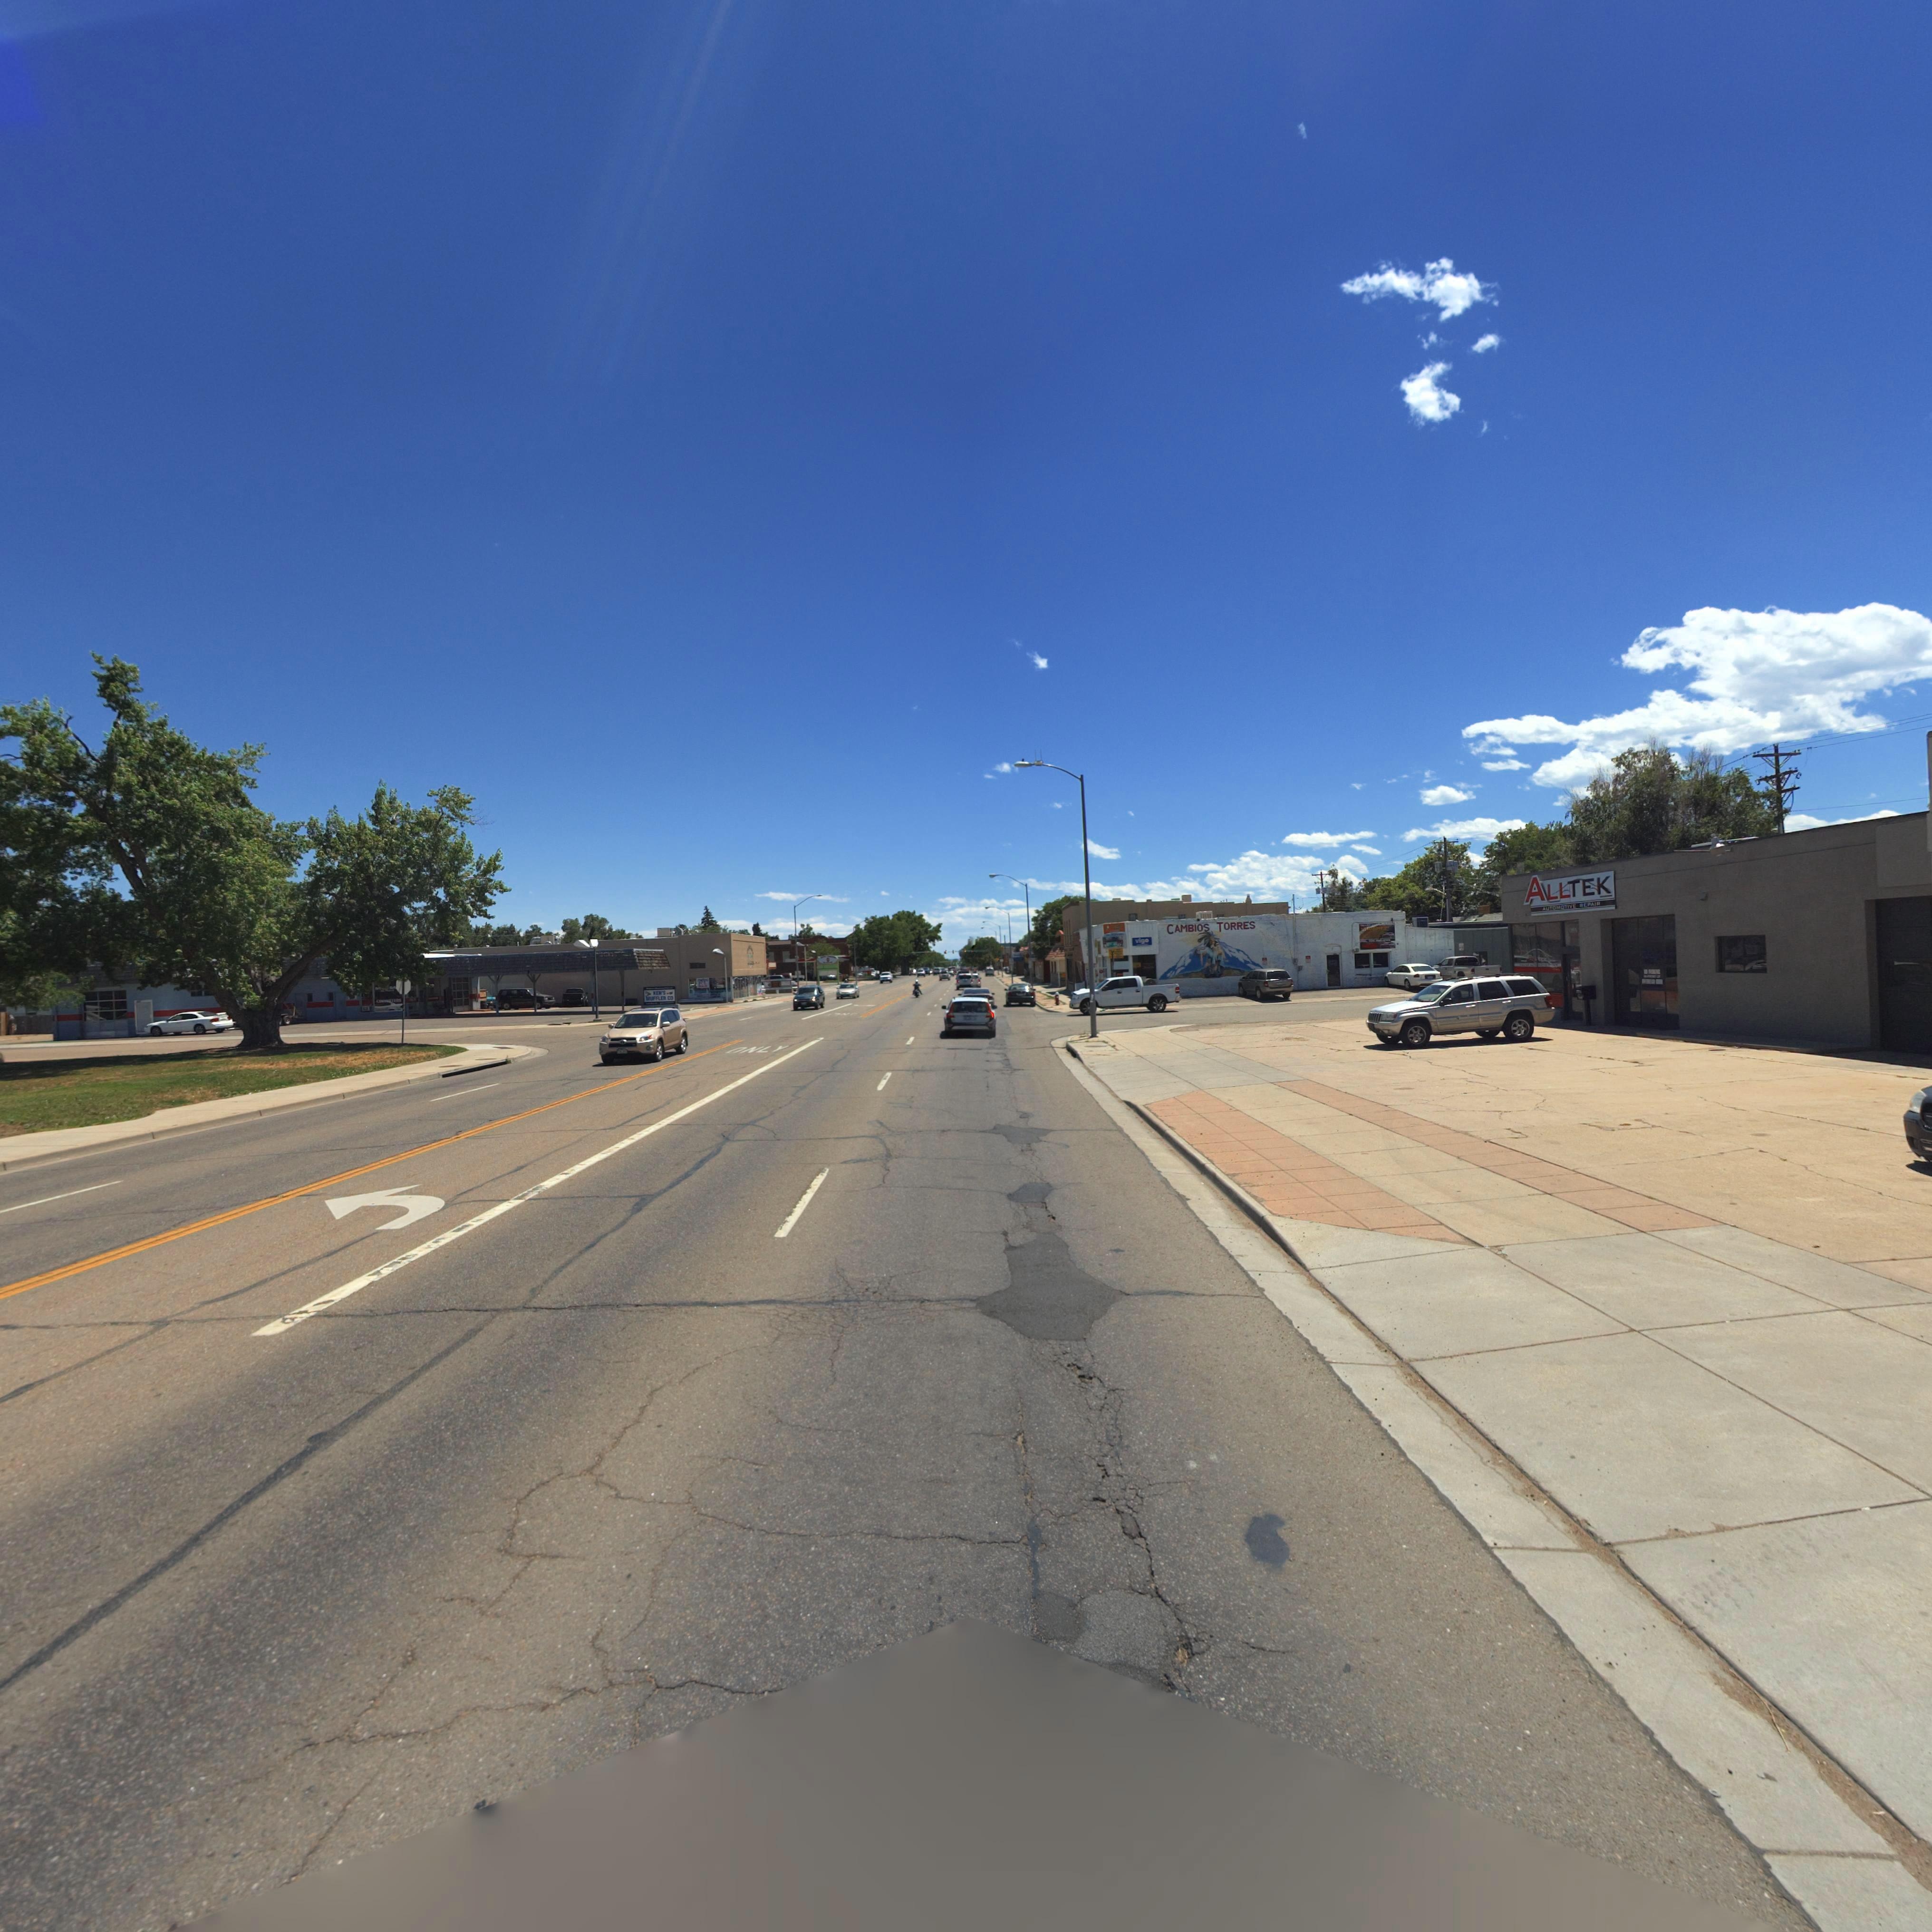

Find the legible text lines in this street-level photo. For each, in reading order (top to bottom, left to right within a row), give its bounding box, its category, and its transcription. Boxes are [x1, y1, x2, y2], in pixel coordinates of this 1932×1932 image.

[1523, 874, 1612, 904] BusinessName: ALLTEK
[1542, 901, 1600, 911] BusinessName: AUTOMOTIVE REPAIR
[1166, 921, 1256, 935] BusinessName: CAMBIOS TORRES
[652, 990, 666, 995] BusinessName: KEN'S
[646, 995, 673, 1001] BusinessName: MUFFLER CO